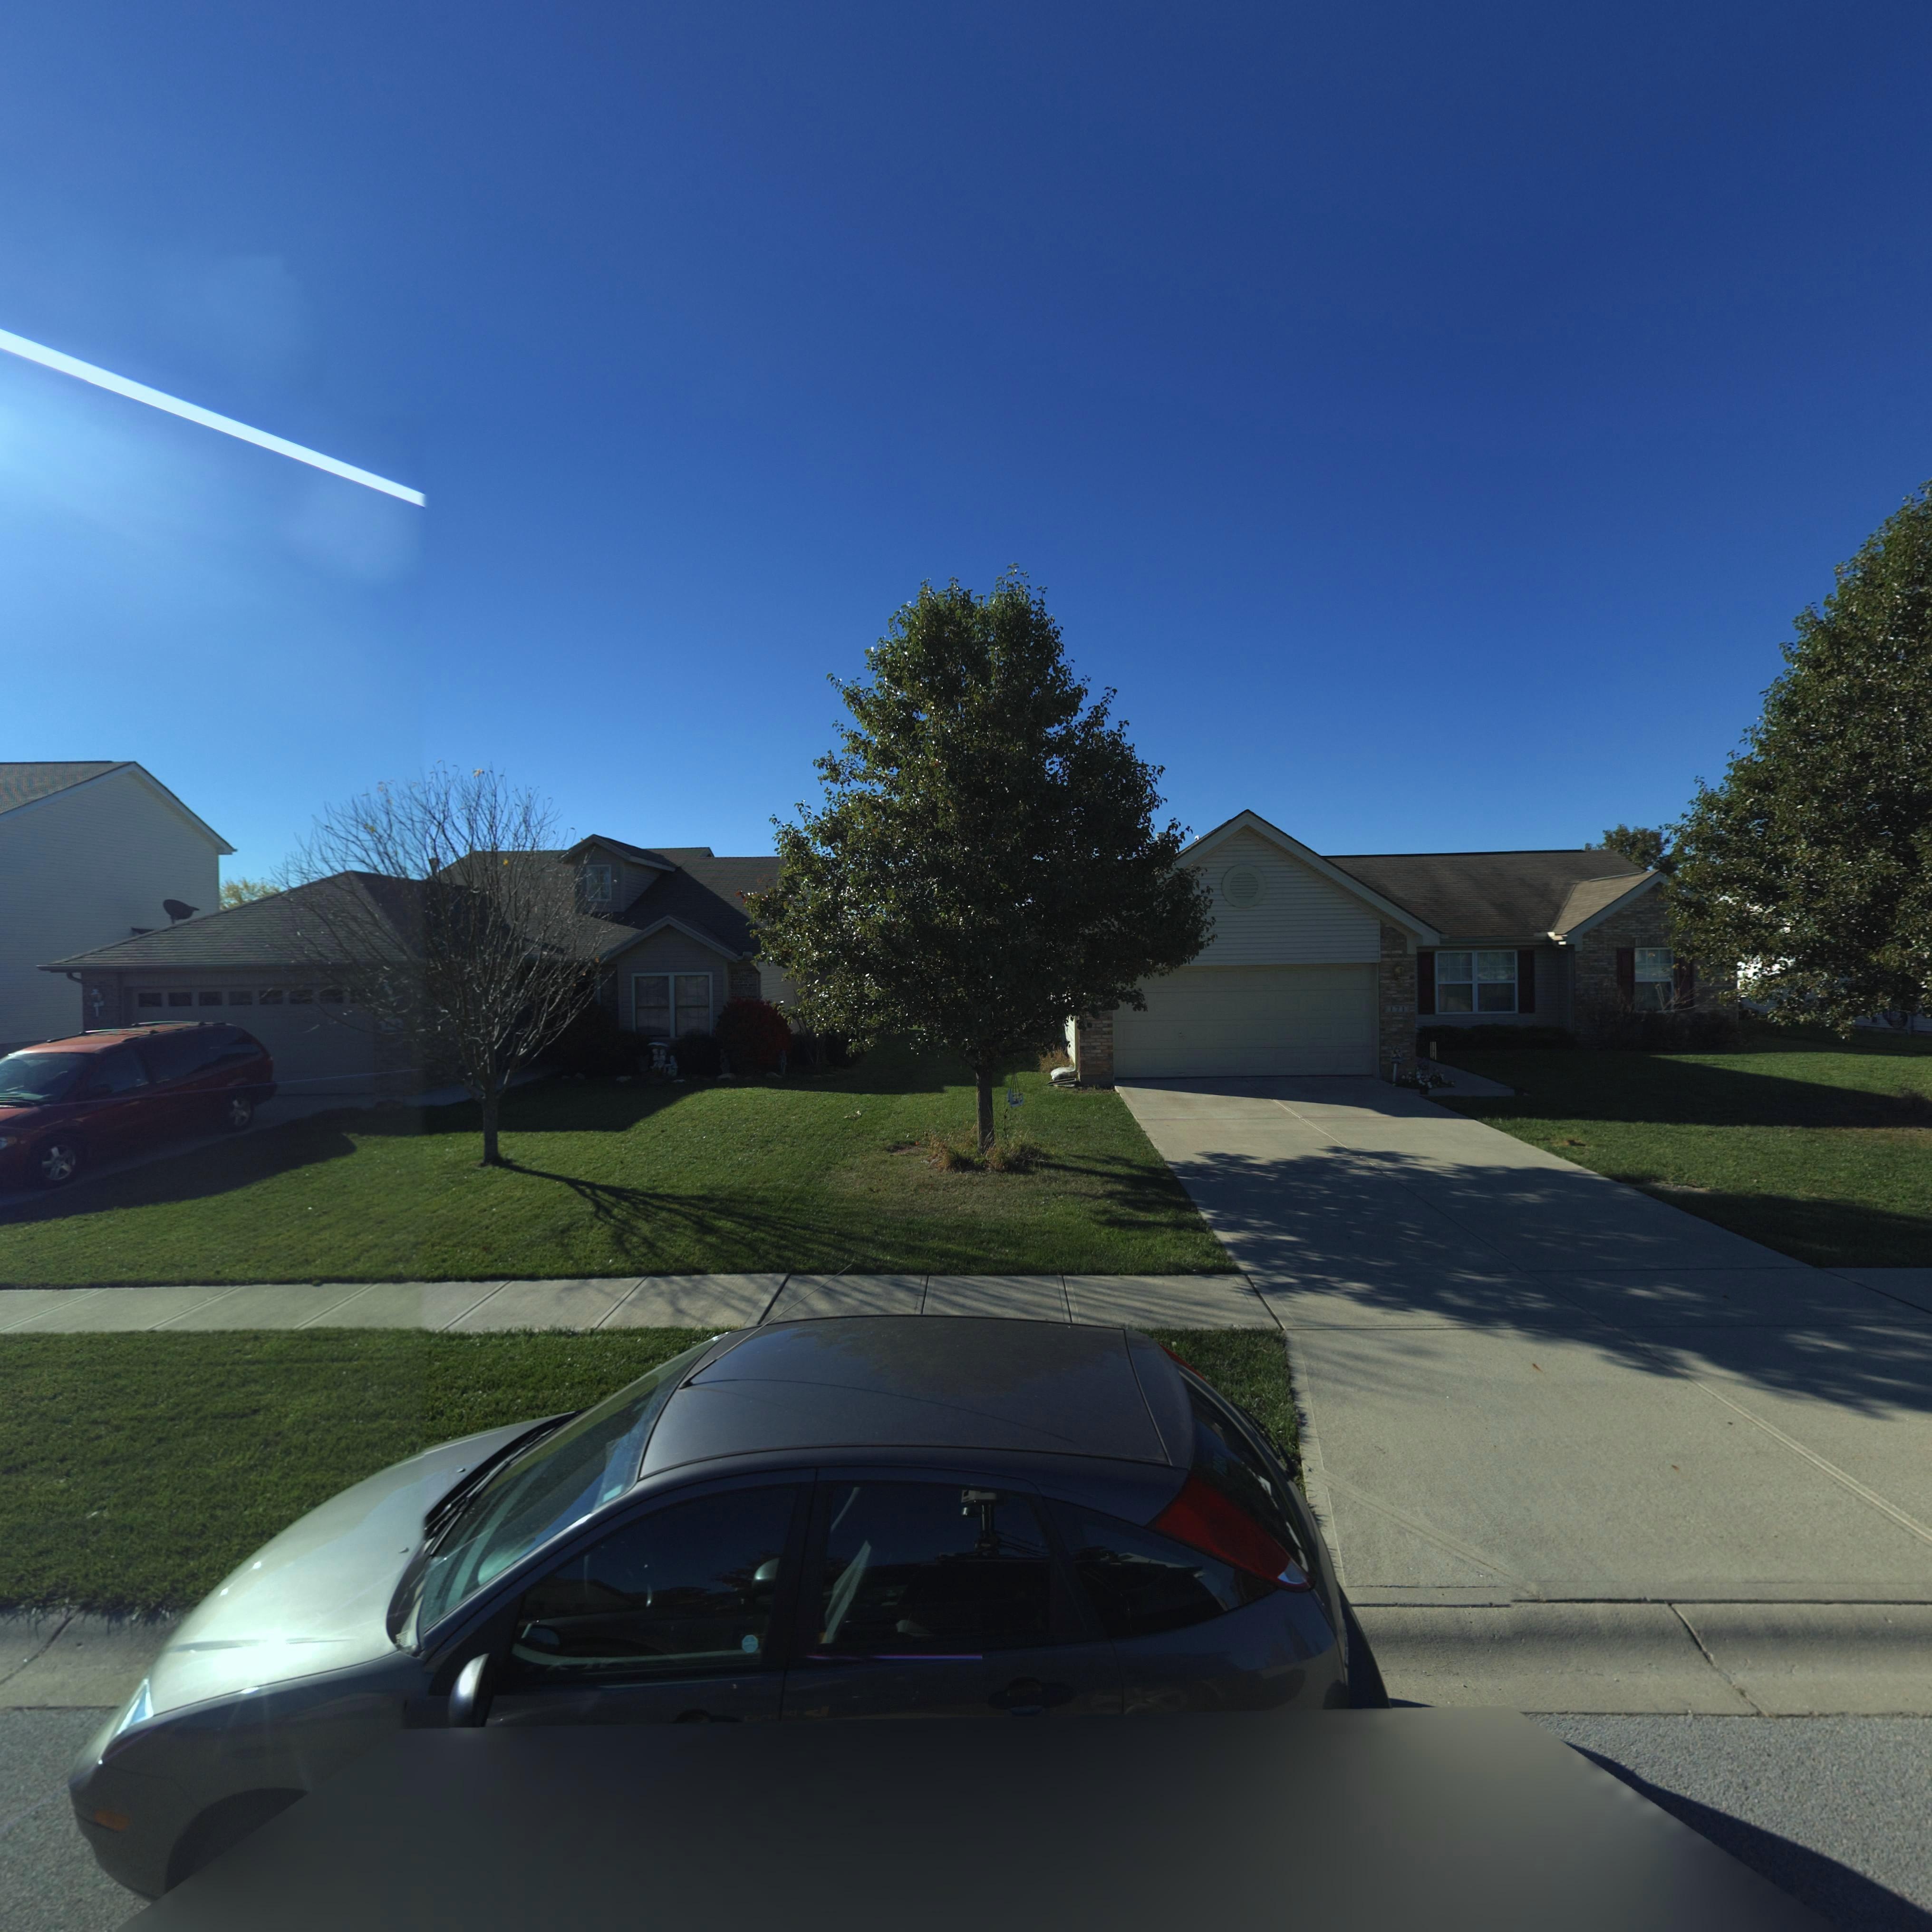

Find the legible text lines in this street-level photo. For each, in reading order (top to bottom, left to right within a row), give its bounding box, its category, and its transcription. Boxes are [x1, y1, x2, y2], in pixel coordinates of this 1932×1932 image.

[1390, 1005, 1405, 1012] StreetNumber: 171